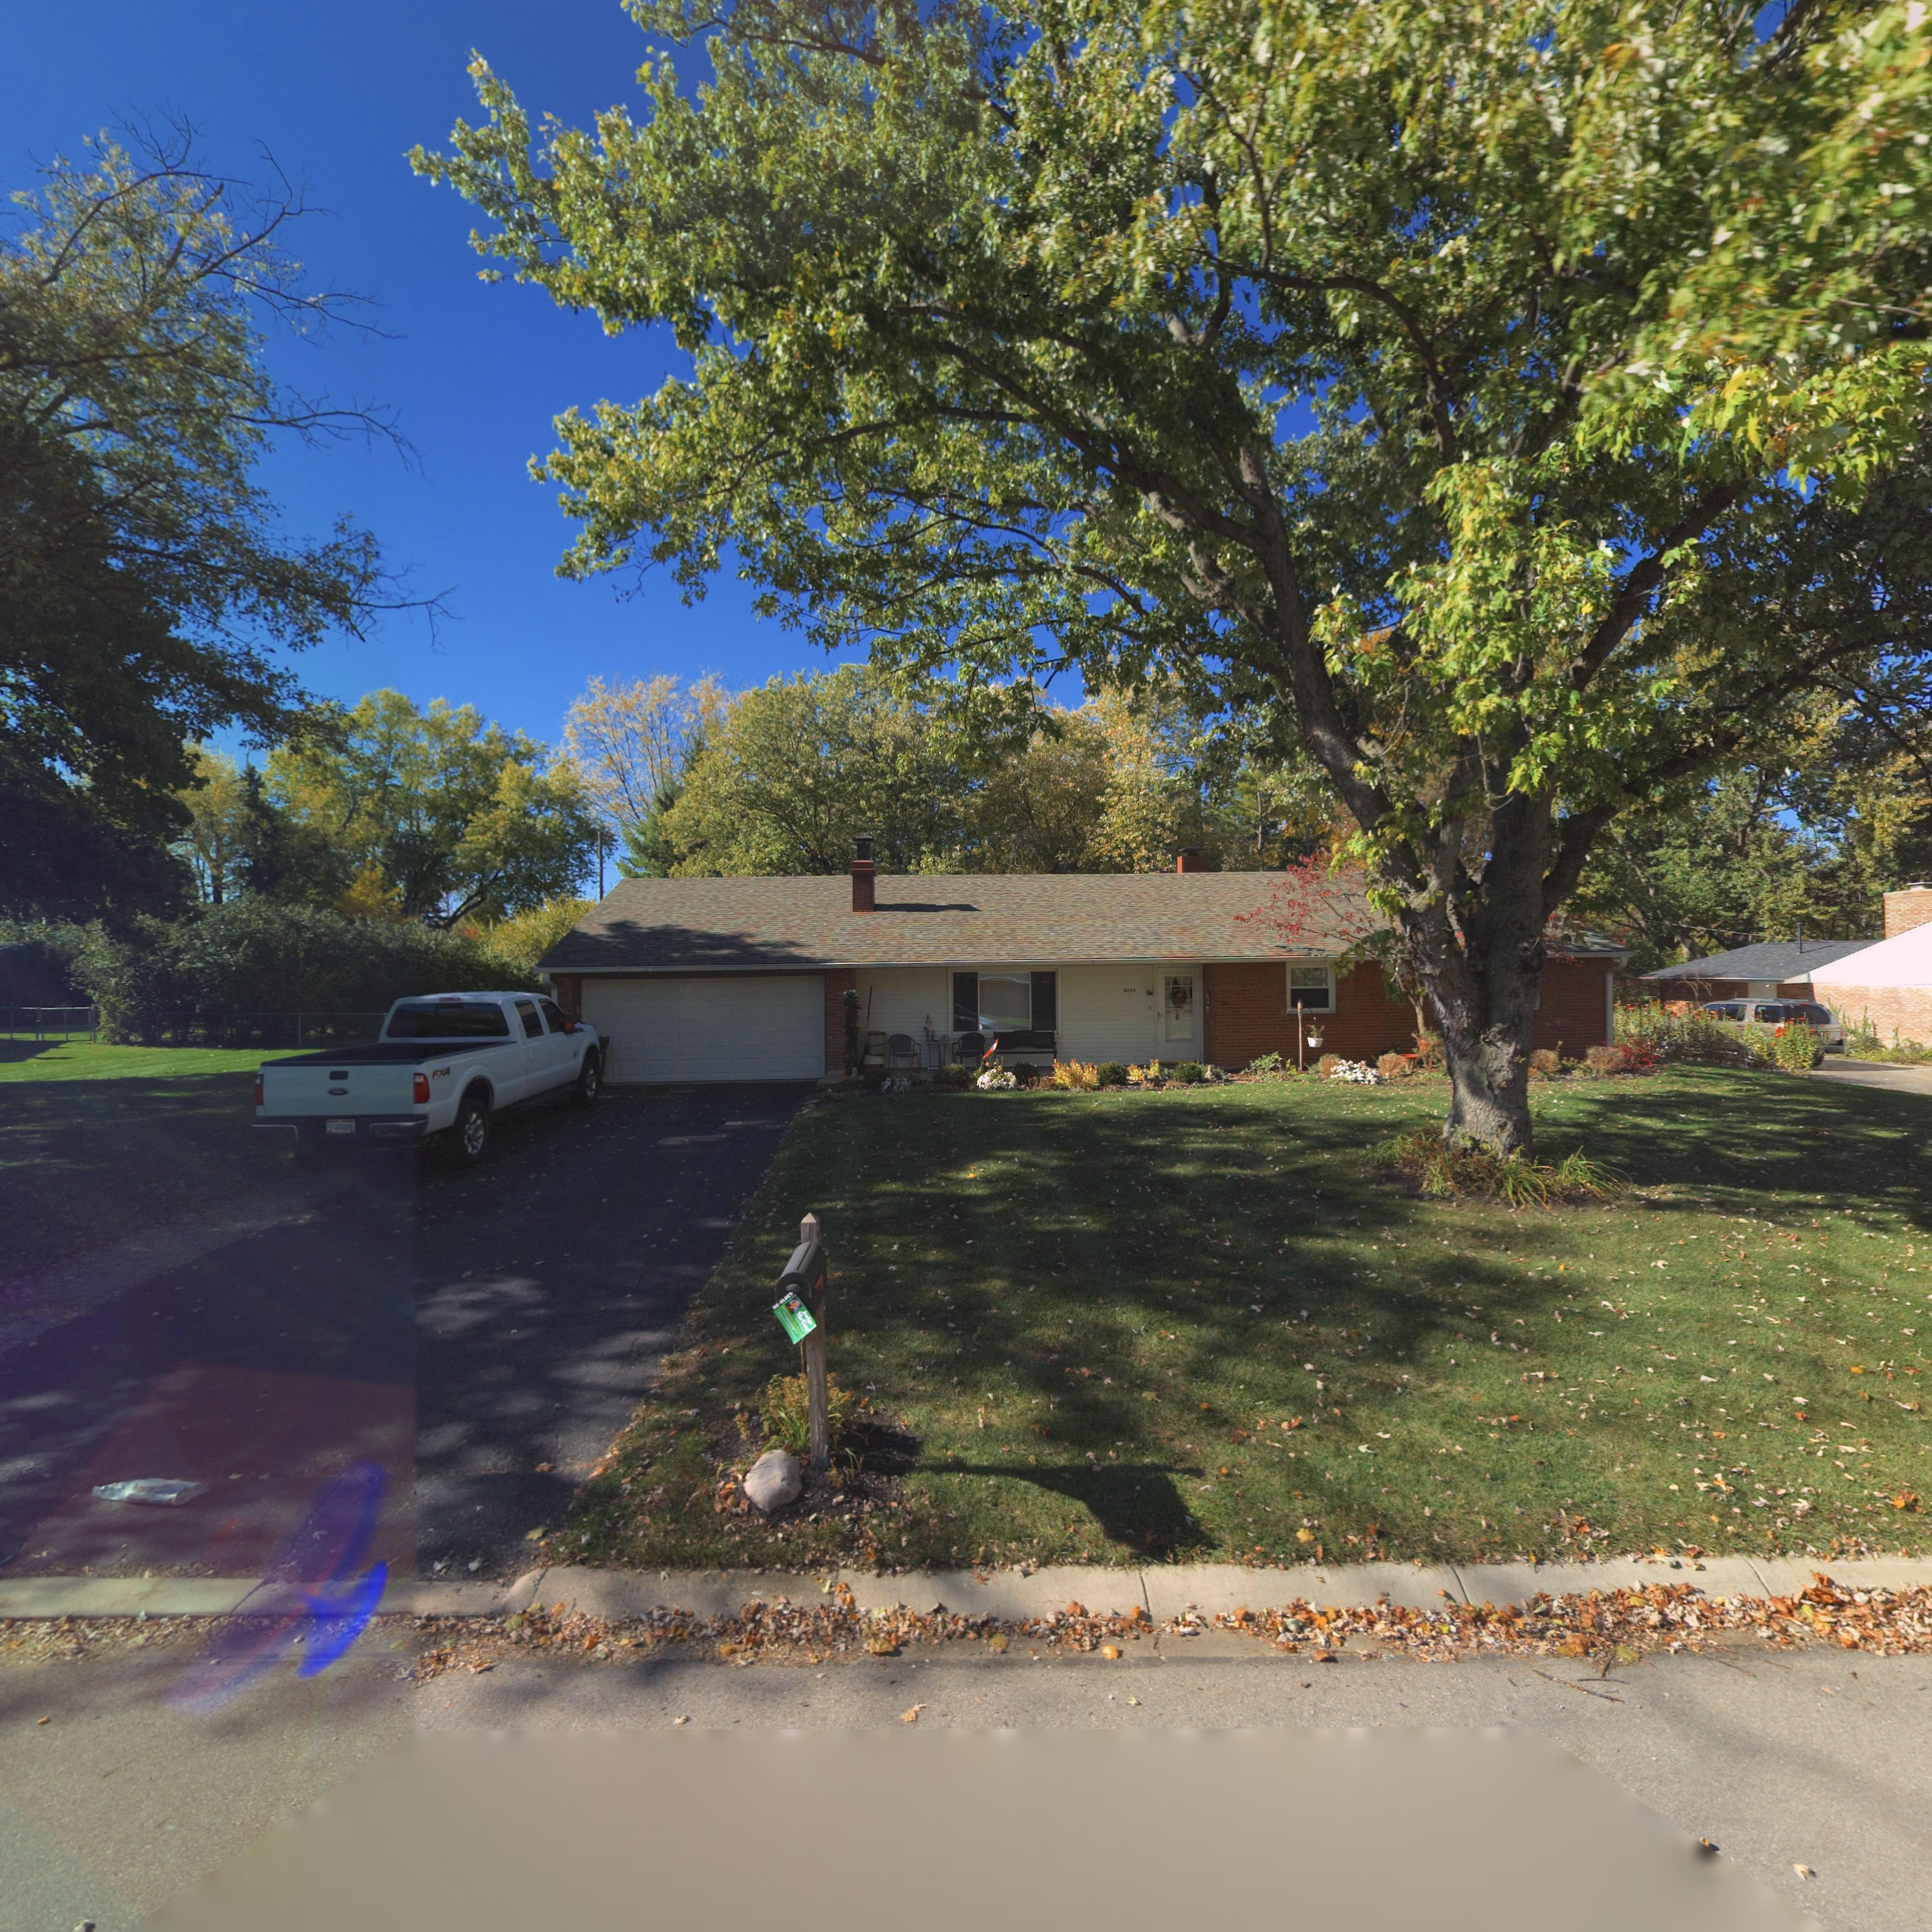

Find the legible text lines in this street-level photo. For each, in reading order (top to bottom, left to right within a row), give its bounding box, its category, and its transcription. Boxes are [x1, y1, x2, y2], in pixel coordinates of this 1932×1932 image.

[1123, 987, 1136, 993] StreetNumber: 6649
[432, 1065, 451, 1080] None: FX4
[334, 1123, 345, 1131] None: 340